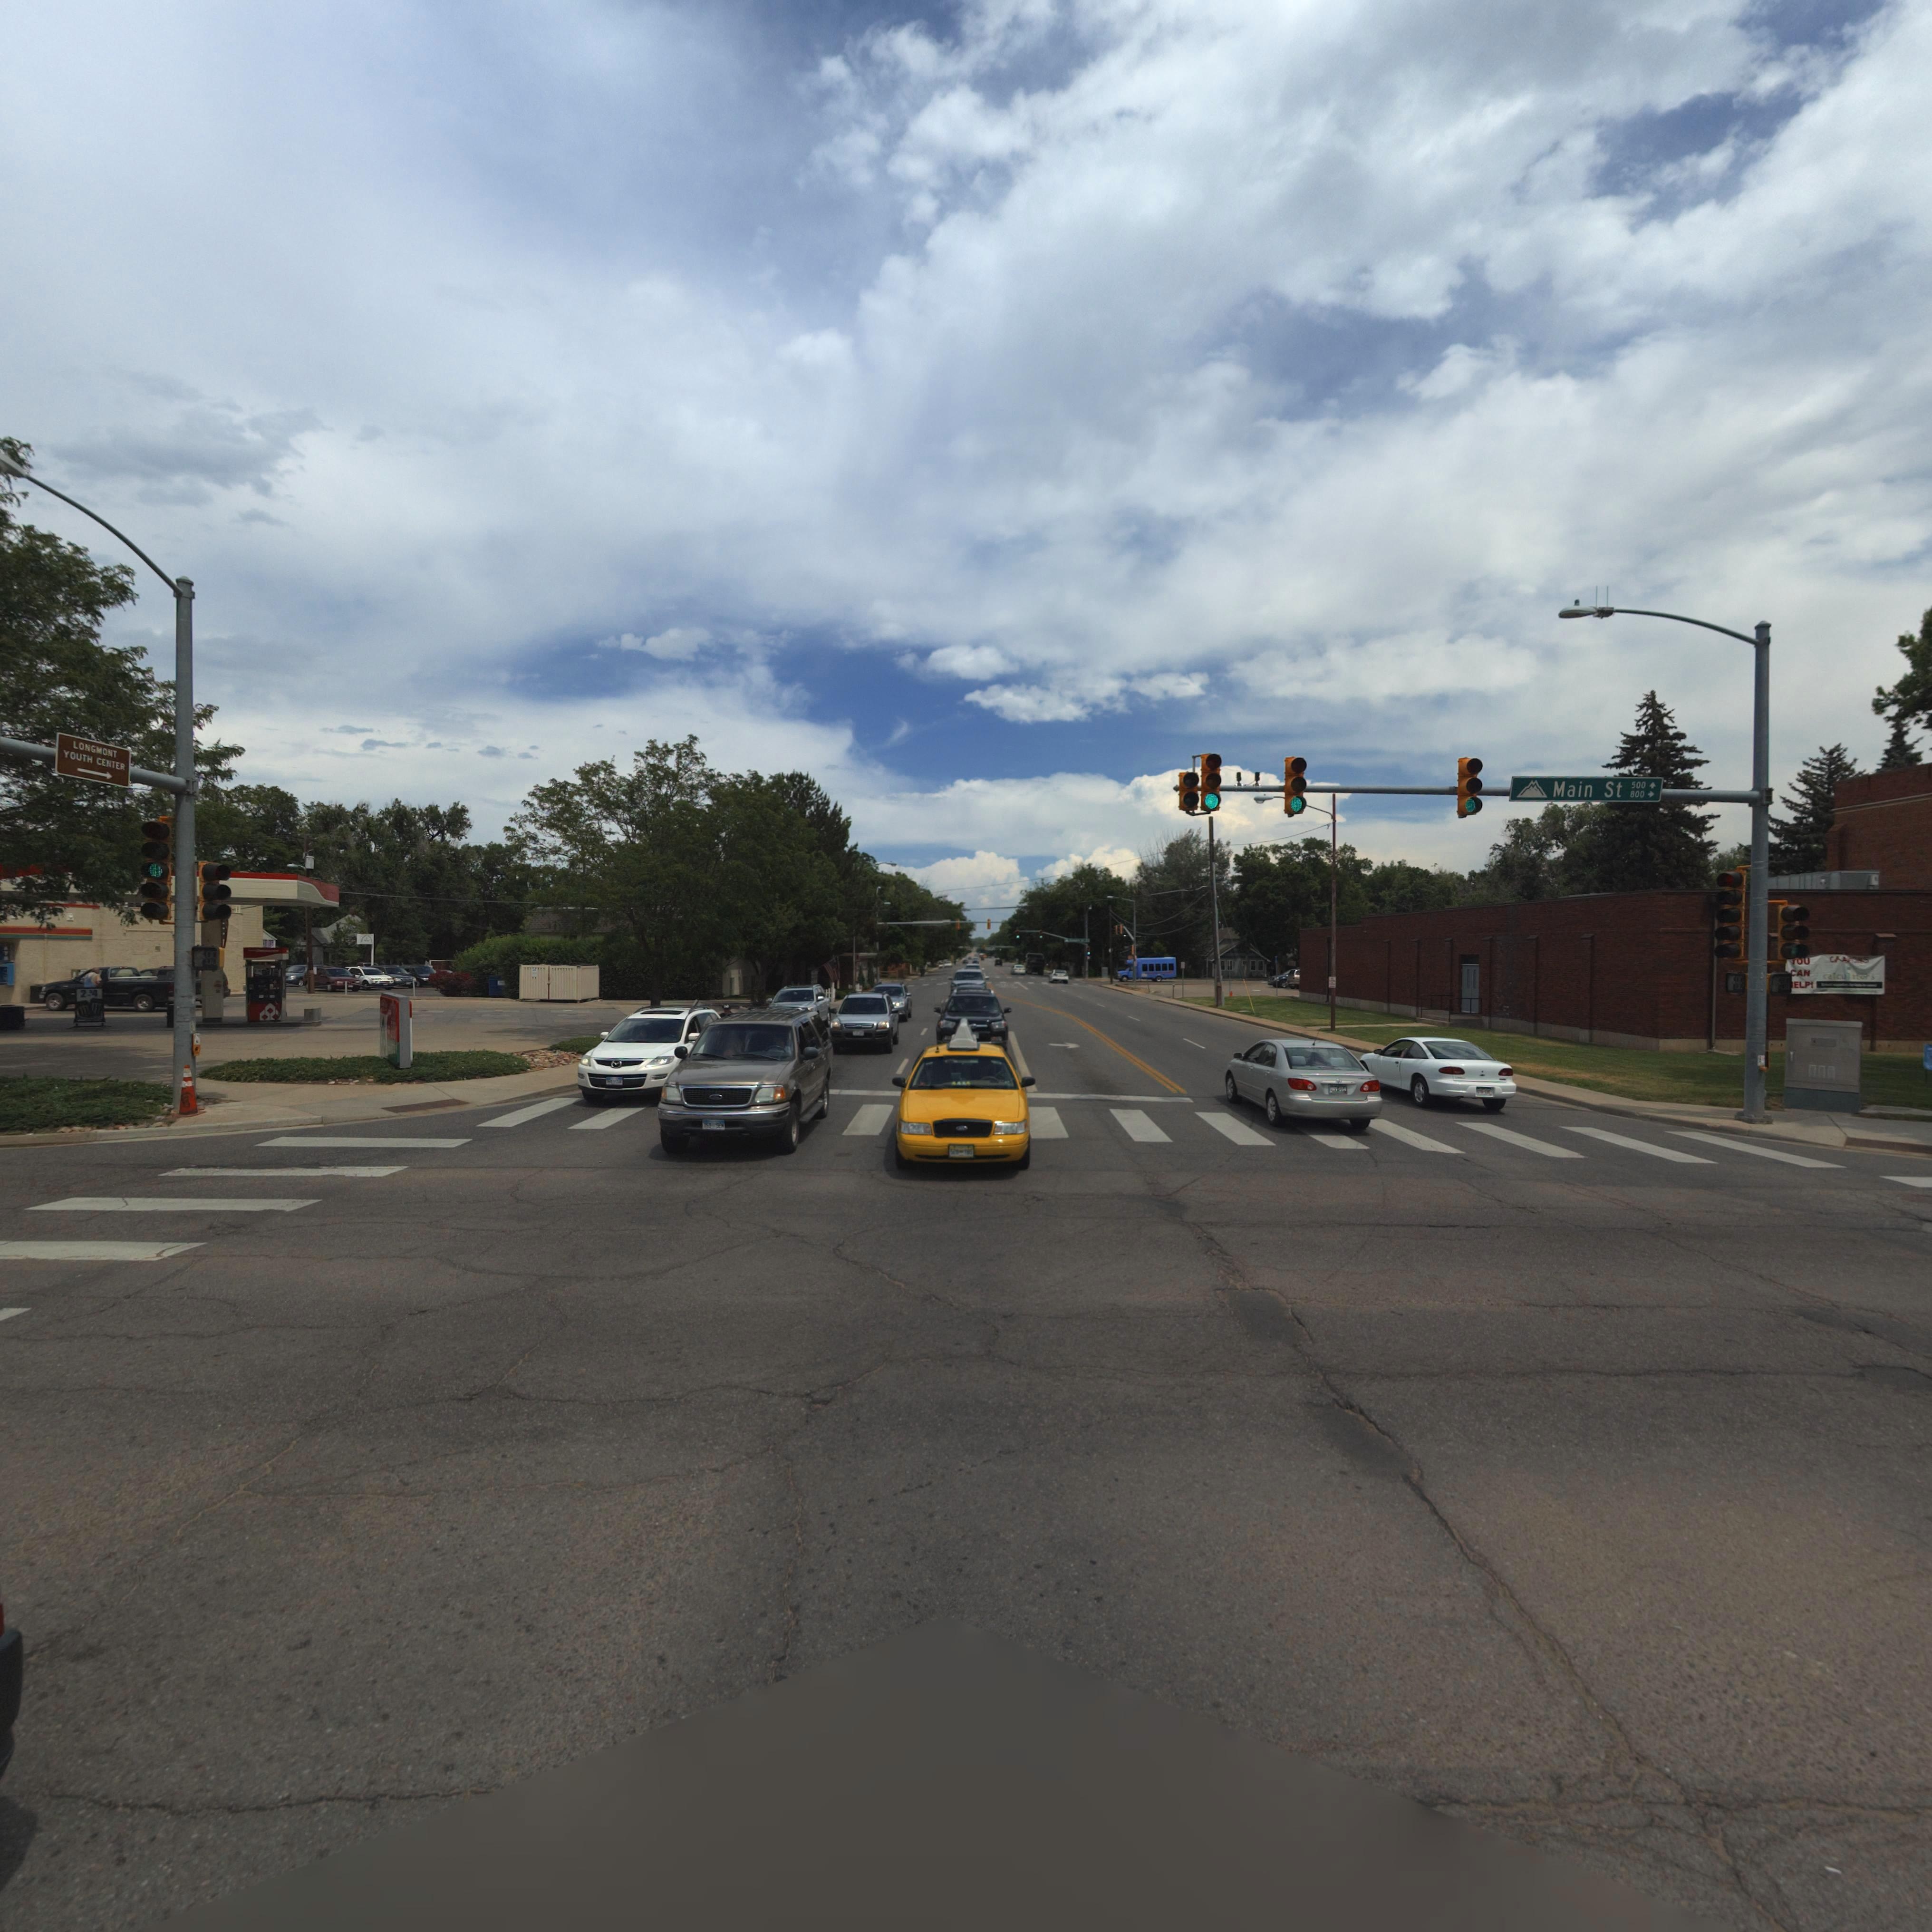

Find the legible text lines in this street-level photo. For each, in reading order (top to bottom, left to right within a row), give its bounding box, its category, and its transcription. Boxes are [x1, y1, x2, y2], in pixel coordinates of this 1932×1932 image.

[1552, 780, 1623, 798] StreetName: Main St
[1631, 781, 1646, 789] StreetNumberRange: 500
[1629, 790, 1655, 798] StreetNumberRange: 800->